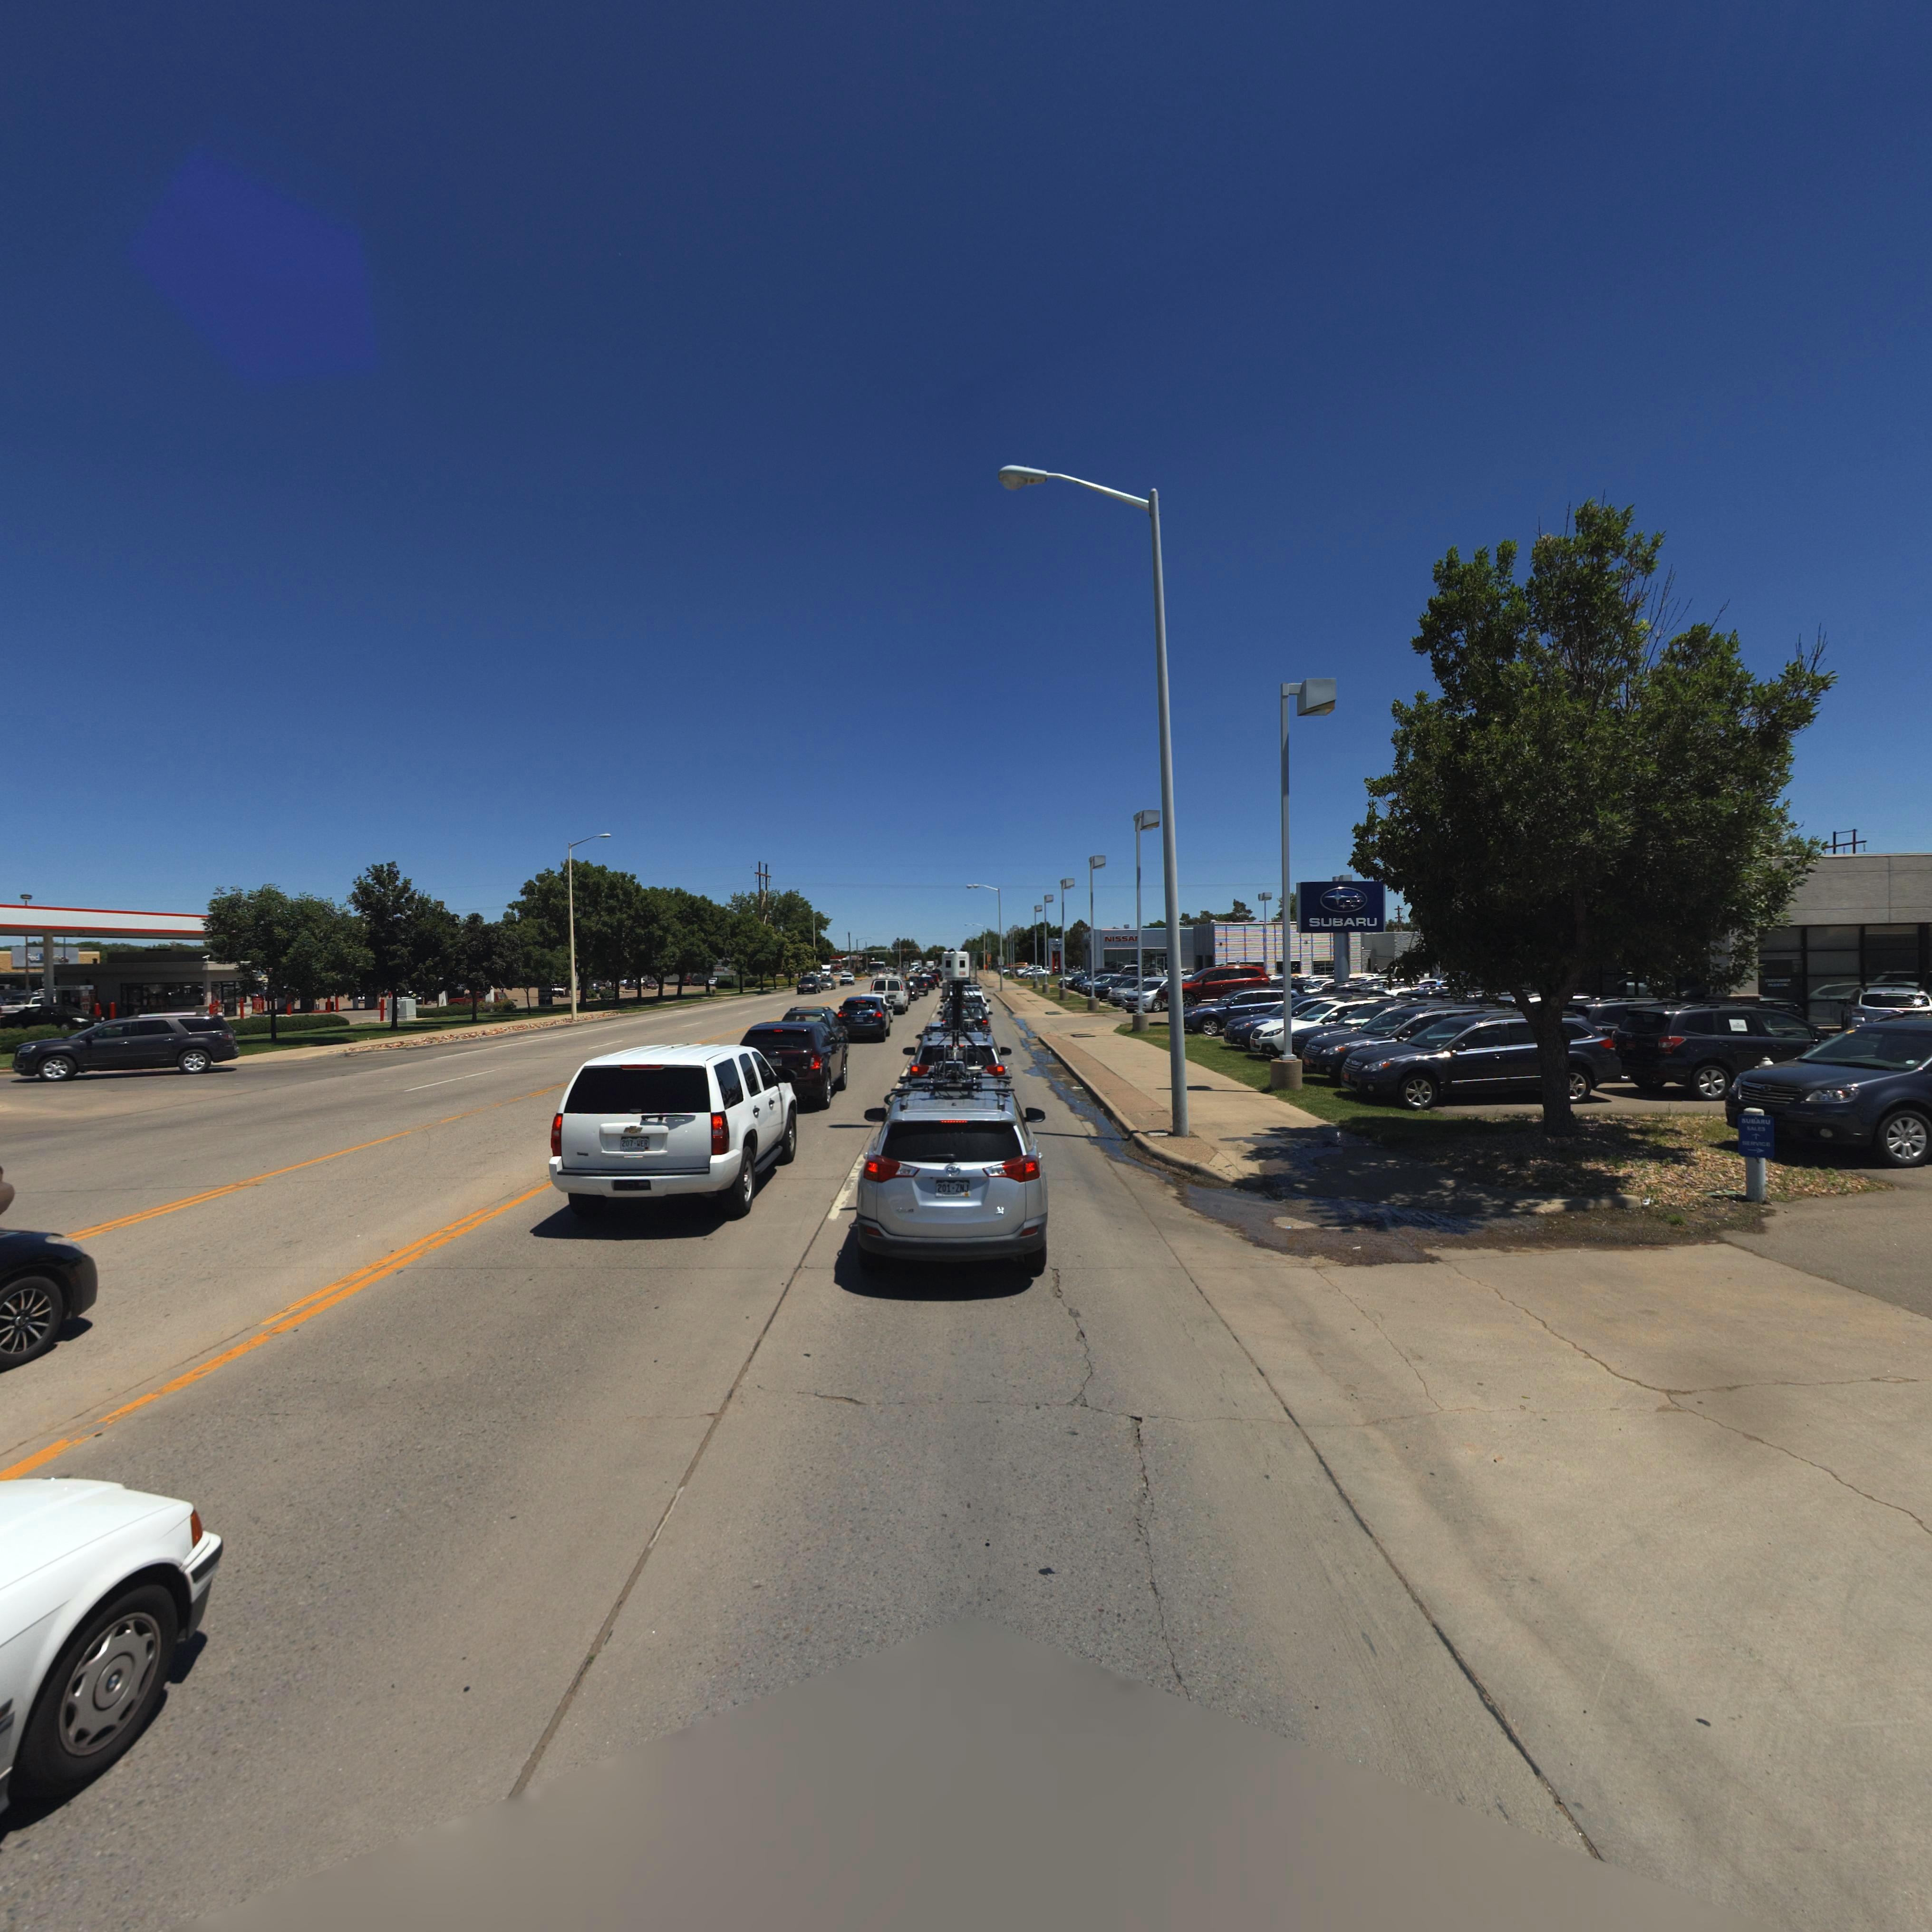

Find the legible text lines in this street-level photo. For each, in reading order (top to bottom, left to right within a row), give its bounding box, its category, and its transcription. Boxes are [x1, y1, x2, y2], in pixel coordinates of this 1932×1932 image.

[1308, 917, 1377, 927] BusinessName: SUBARU
[1104, 935, 1135, 942] BusinessName: NISSA
[26, 953, 47, 961] BusinessName: *ed**
[716, 968, 724, 971] BusinessName: ARS
[1741, 1118, 1770, 1124] BusinessName: SUBARU
[1746, 1125, 1766, 1131] BusinessName: SALES
[1742, 1140, 1770, 1147] BusinessName: SERVICE